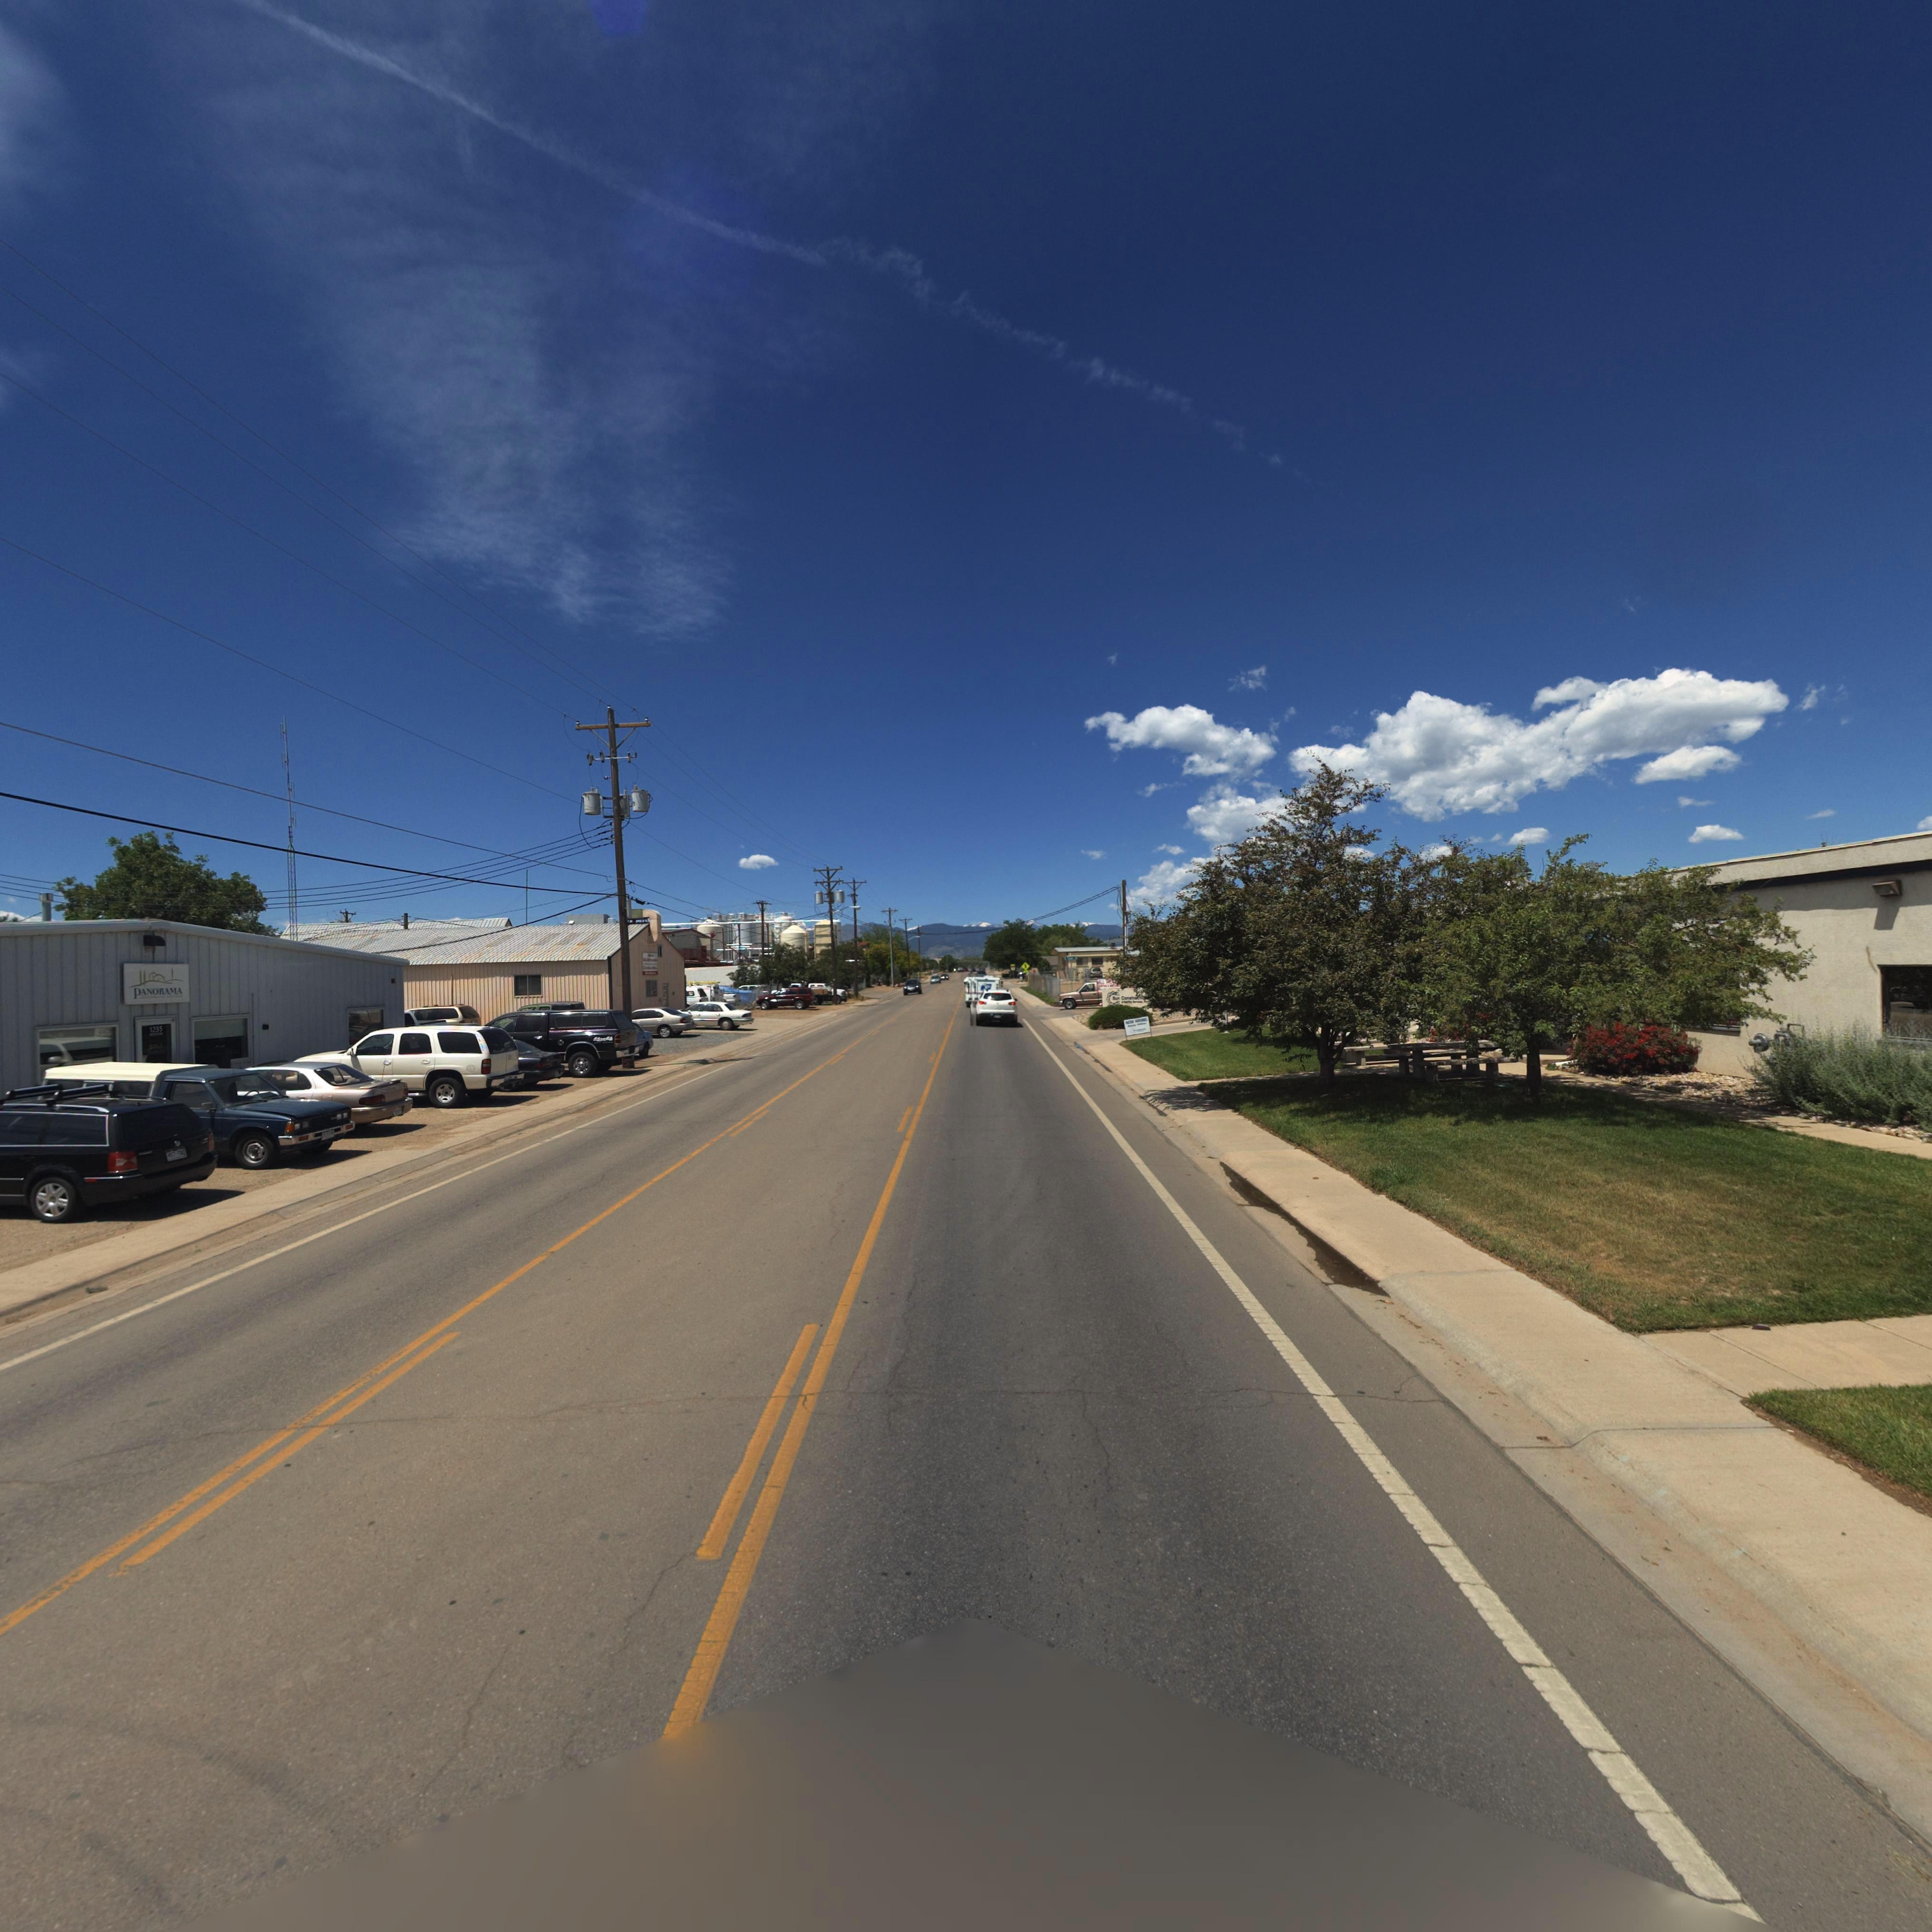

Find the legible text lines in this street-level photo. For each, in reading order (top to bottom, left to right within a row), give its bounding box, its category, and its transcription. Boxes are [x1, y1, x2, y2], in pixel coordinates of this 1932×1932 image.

[133, 986, 183, 1000] BusinessName: PANORAMA
[1112, 995, 1147, 1000] BusinessName: Sun Const*******
[148, 1025, 164, 1033] StreetNumber: 1235